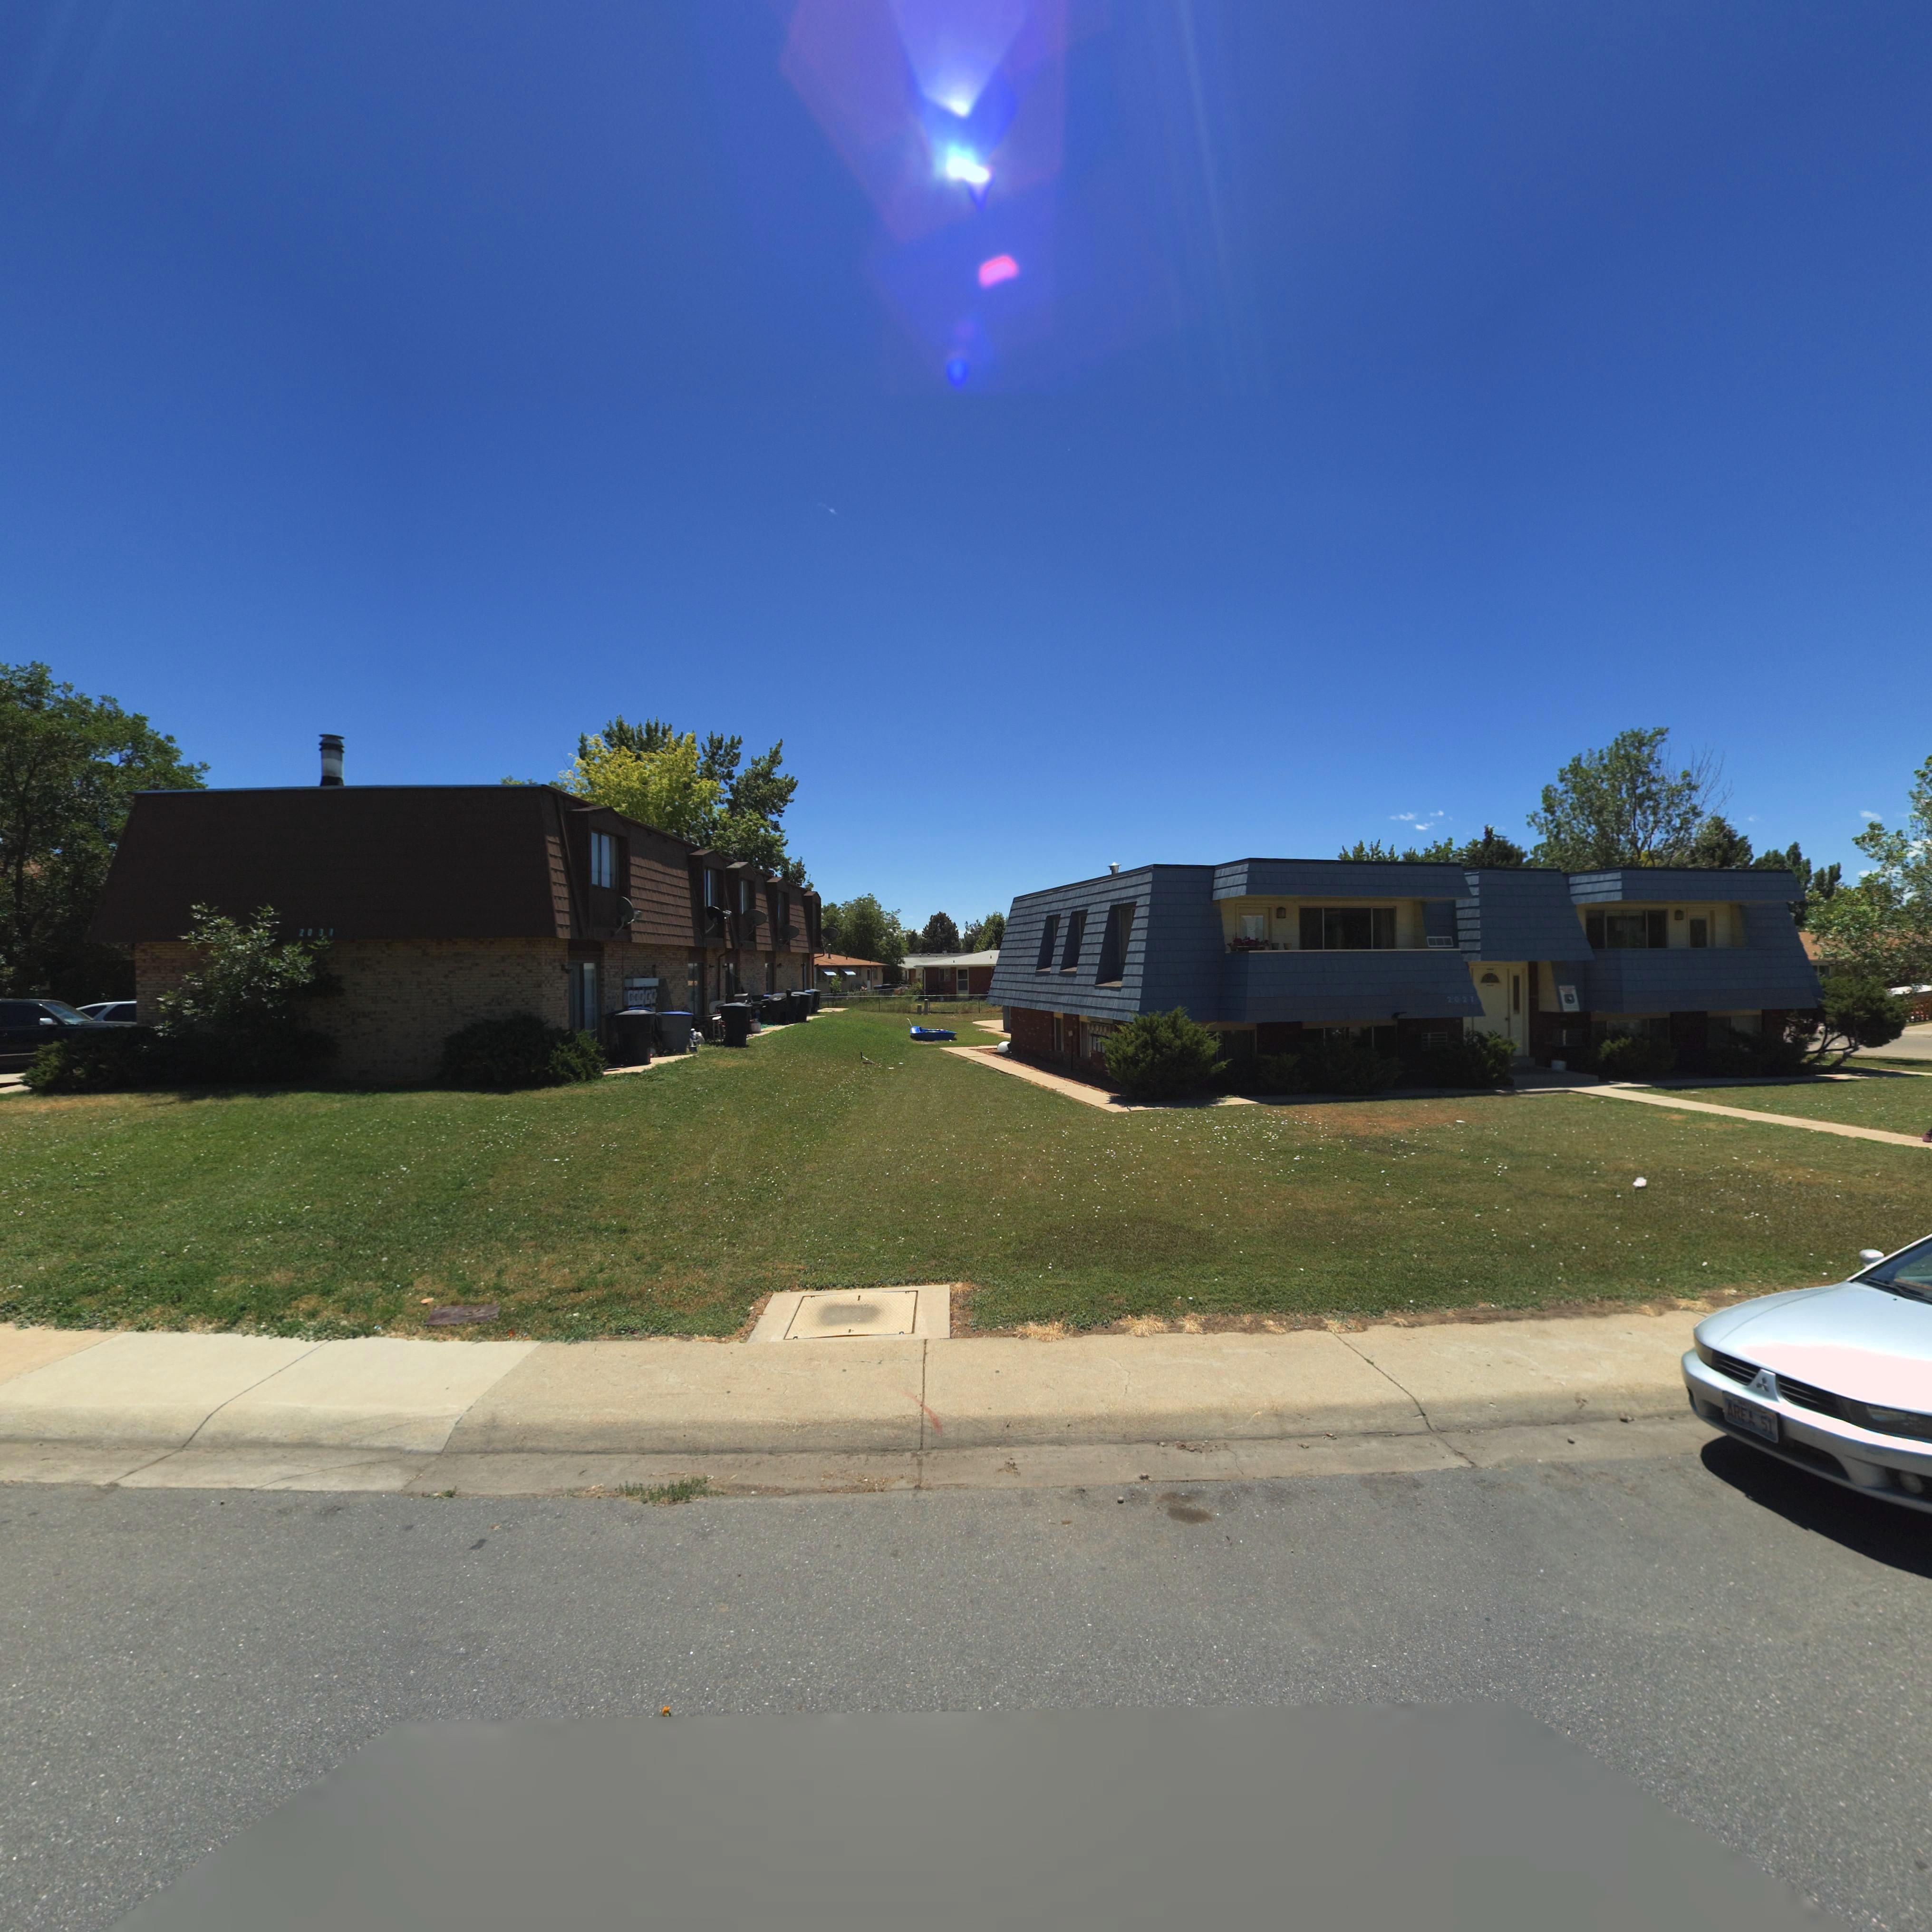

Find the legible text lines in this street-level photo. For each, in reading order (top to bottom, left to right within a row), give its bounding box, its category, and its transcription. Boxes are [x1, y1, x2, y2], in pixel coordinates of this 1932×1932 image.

[298, 927, 335, 937] StreetNumber: 2031
[1446, 995, 1474, 1003] StreetNumber: 2027